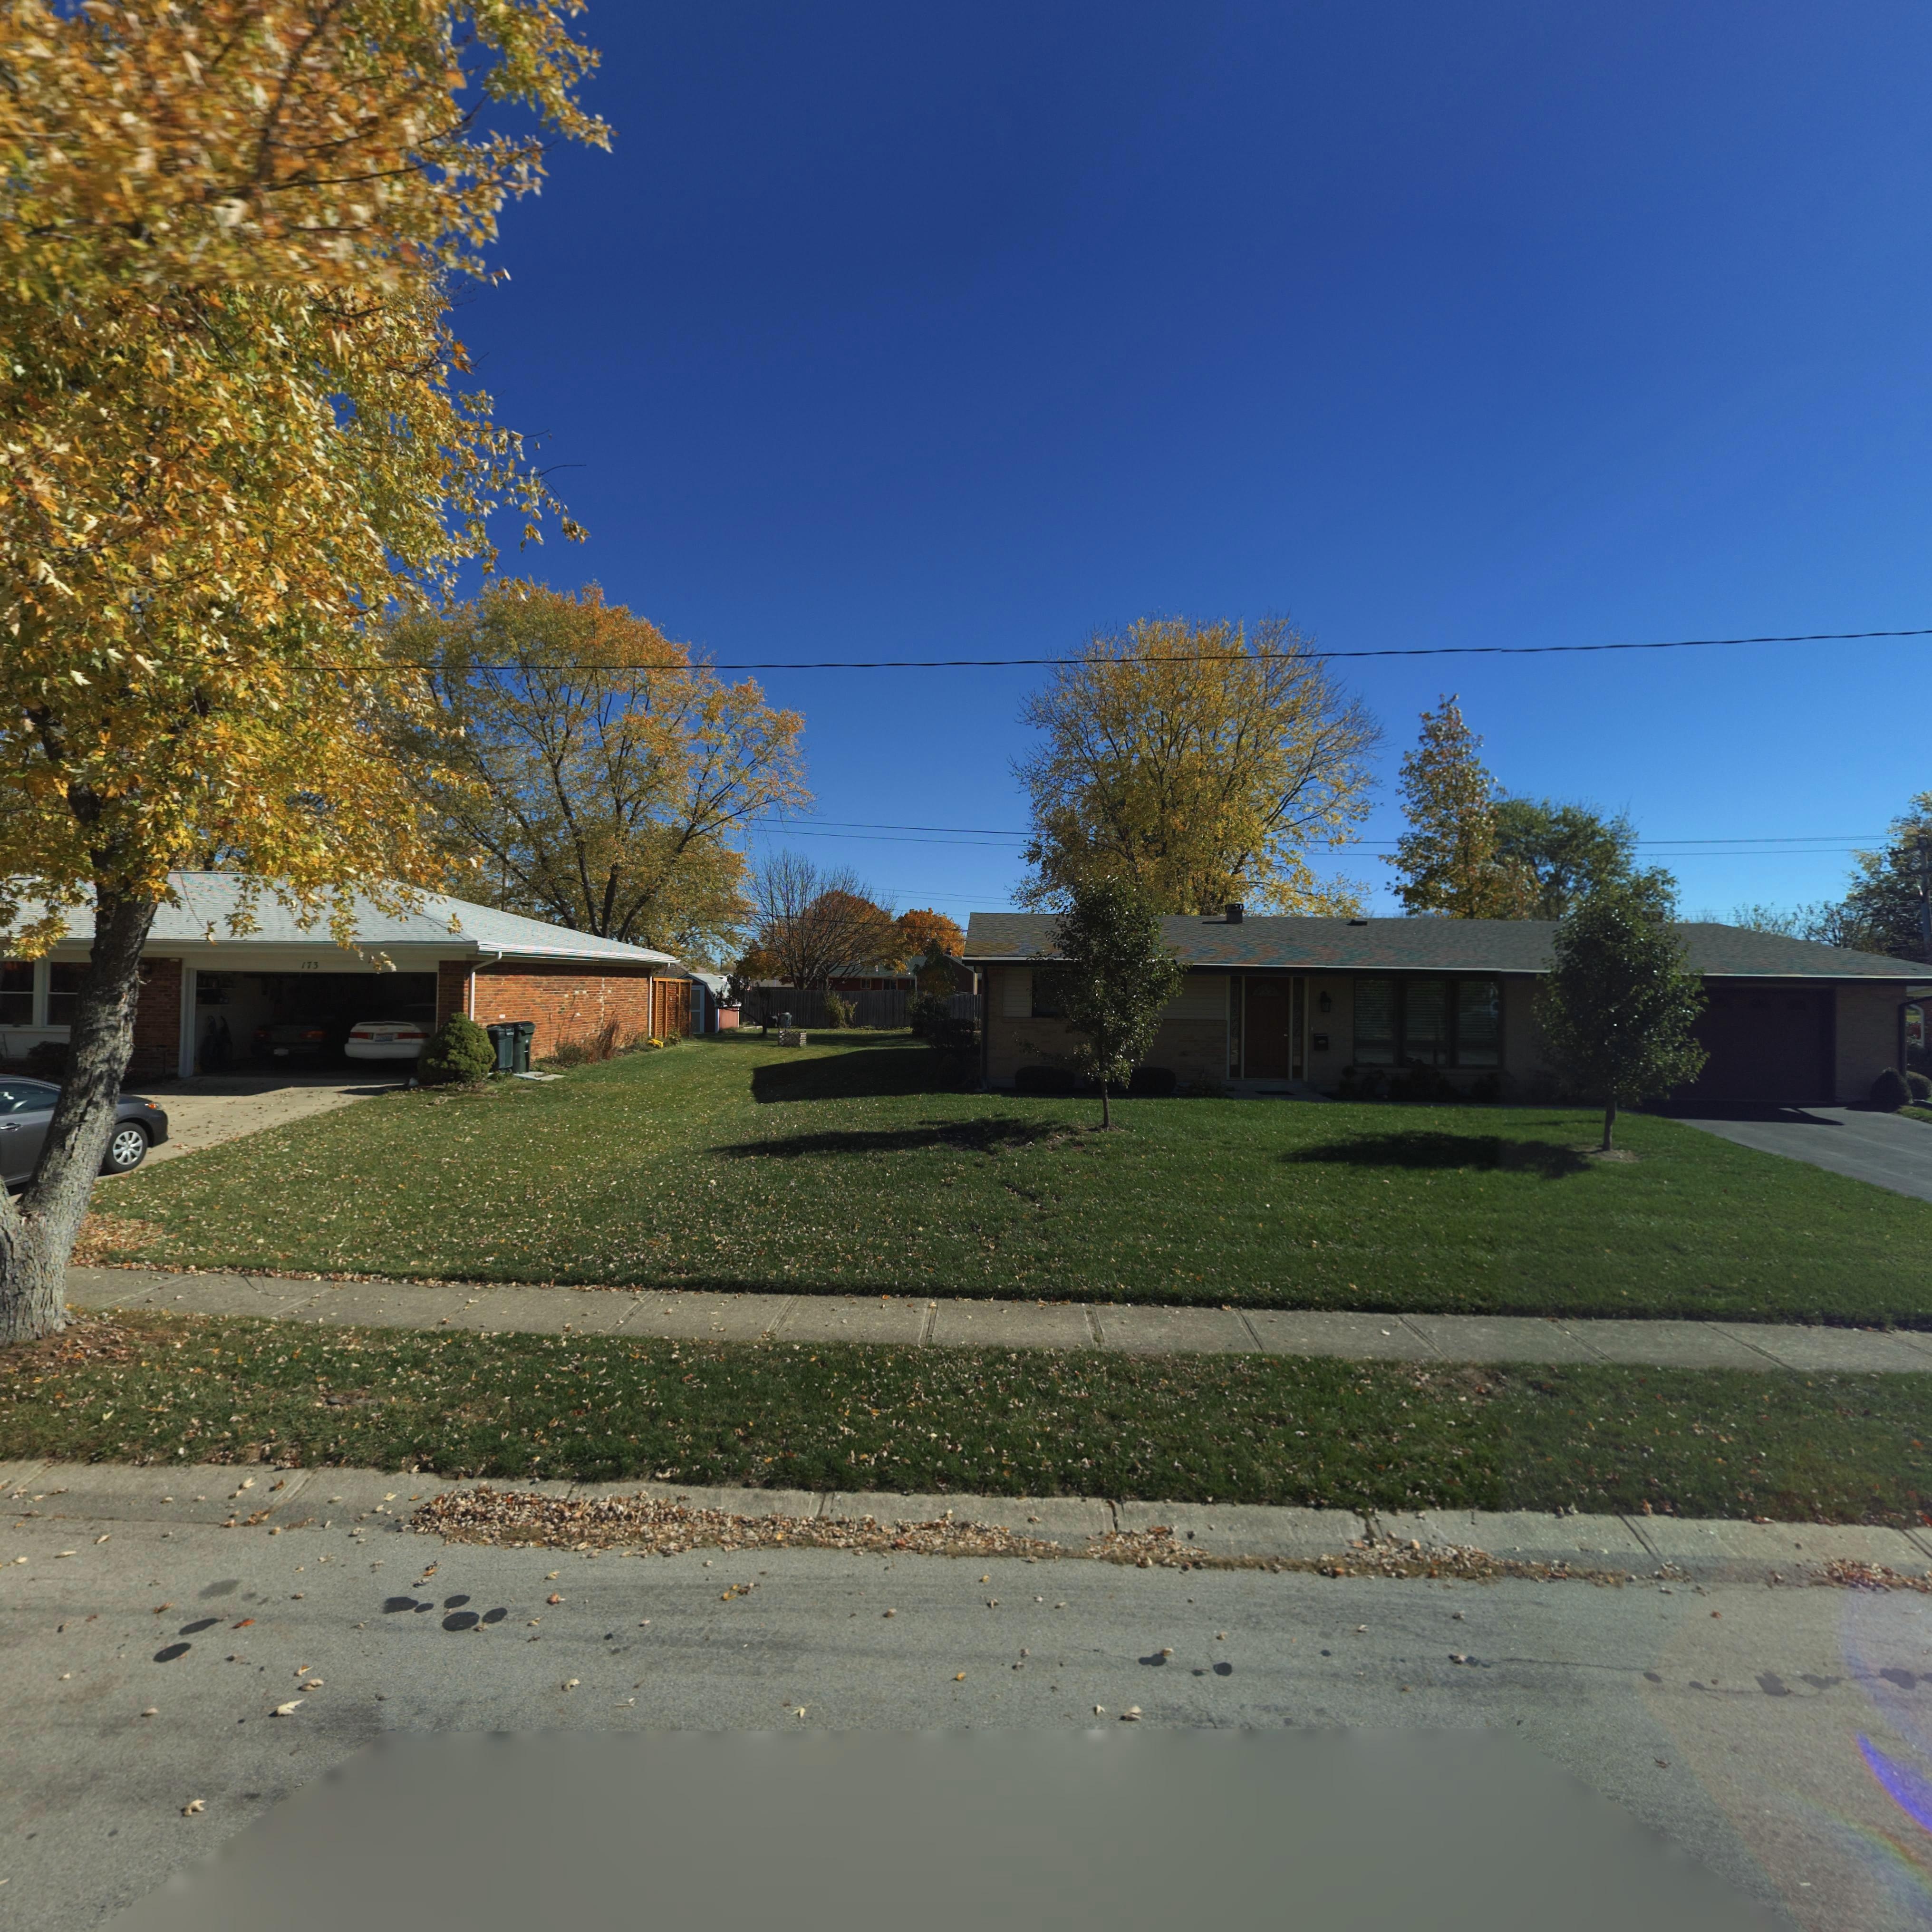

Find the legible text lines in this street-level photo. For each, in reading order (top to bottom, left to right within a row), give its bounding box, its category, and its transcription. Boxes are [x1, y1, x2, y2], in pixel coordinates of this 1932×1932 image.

[300, 961, 320, 970] StreetNumber: 173